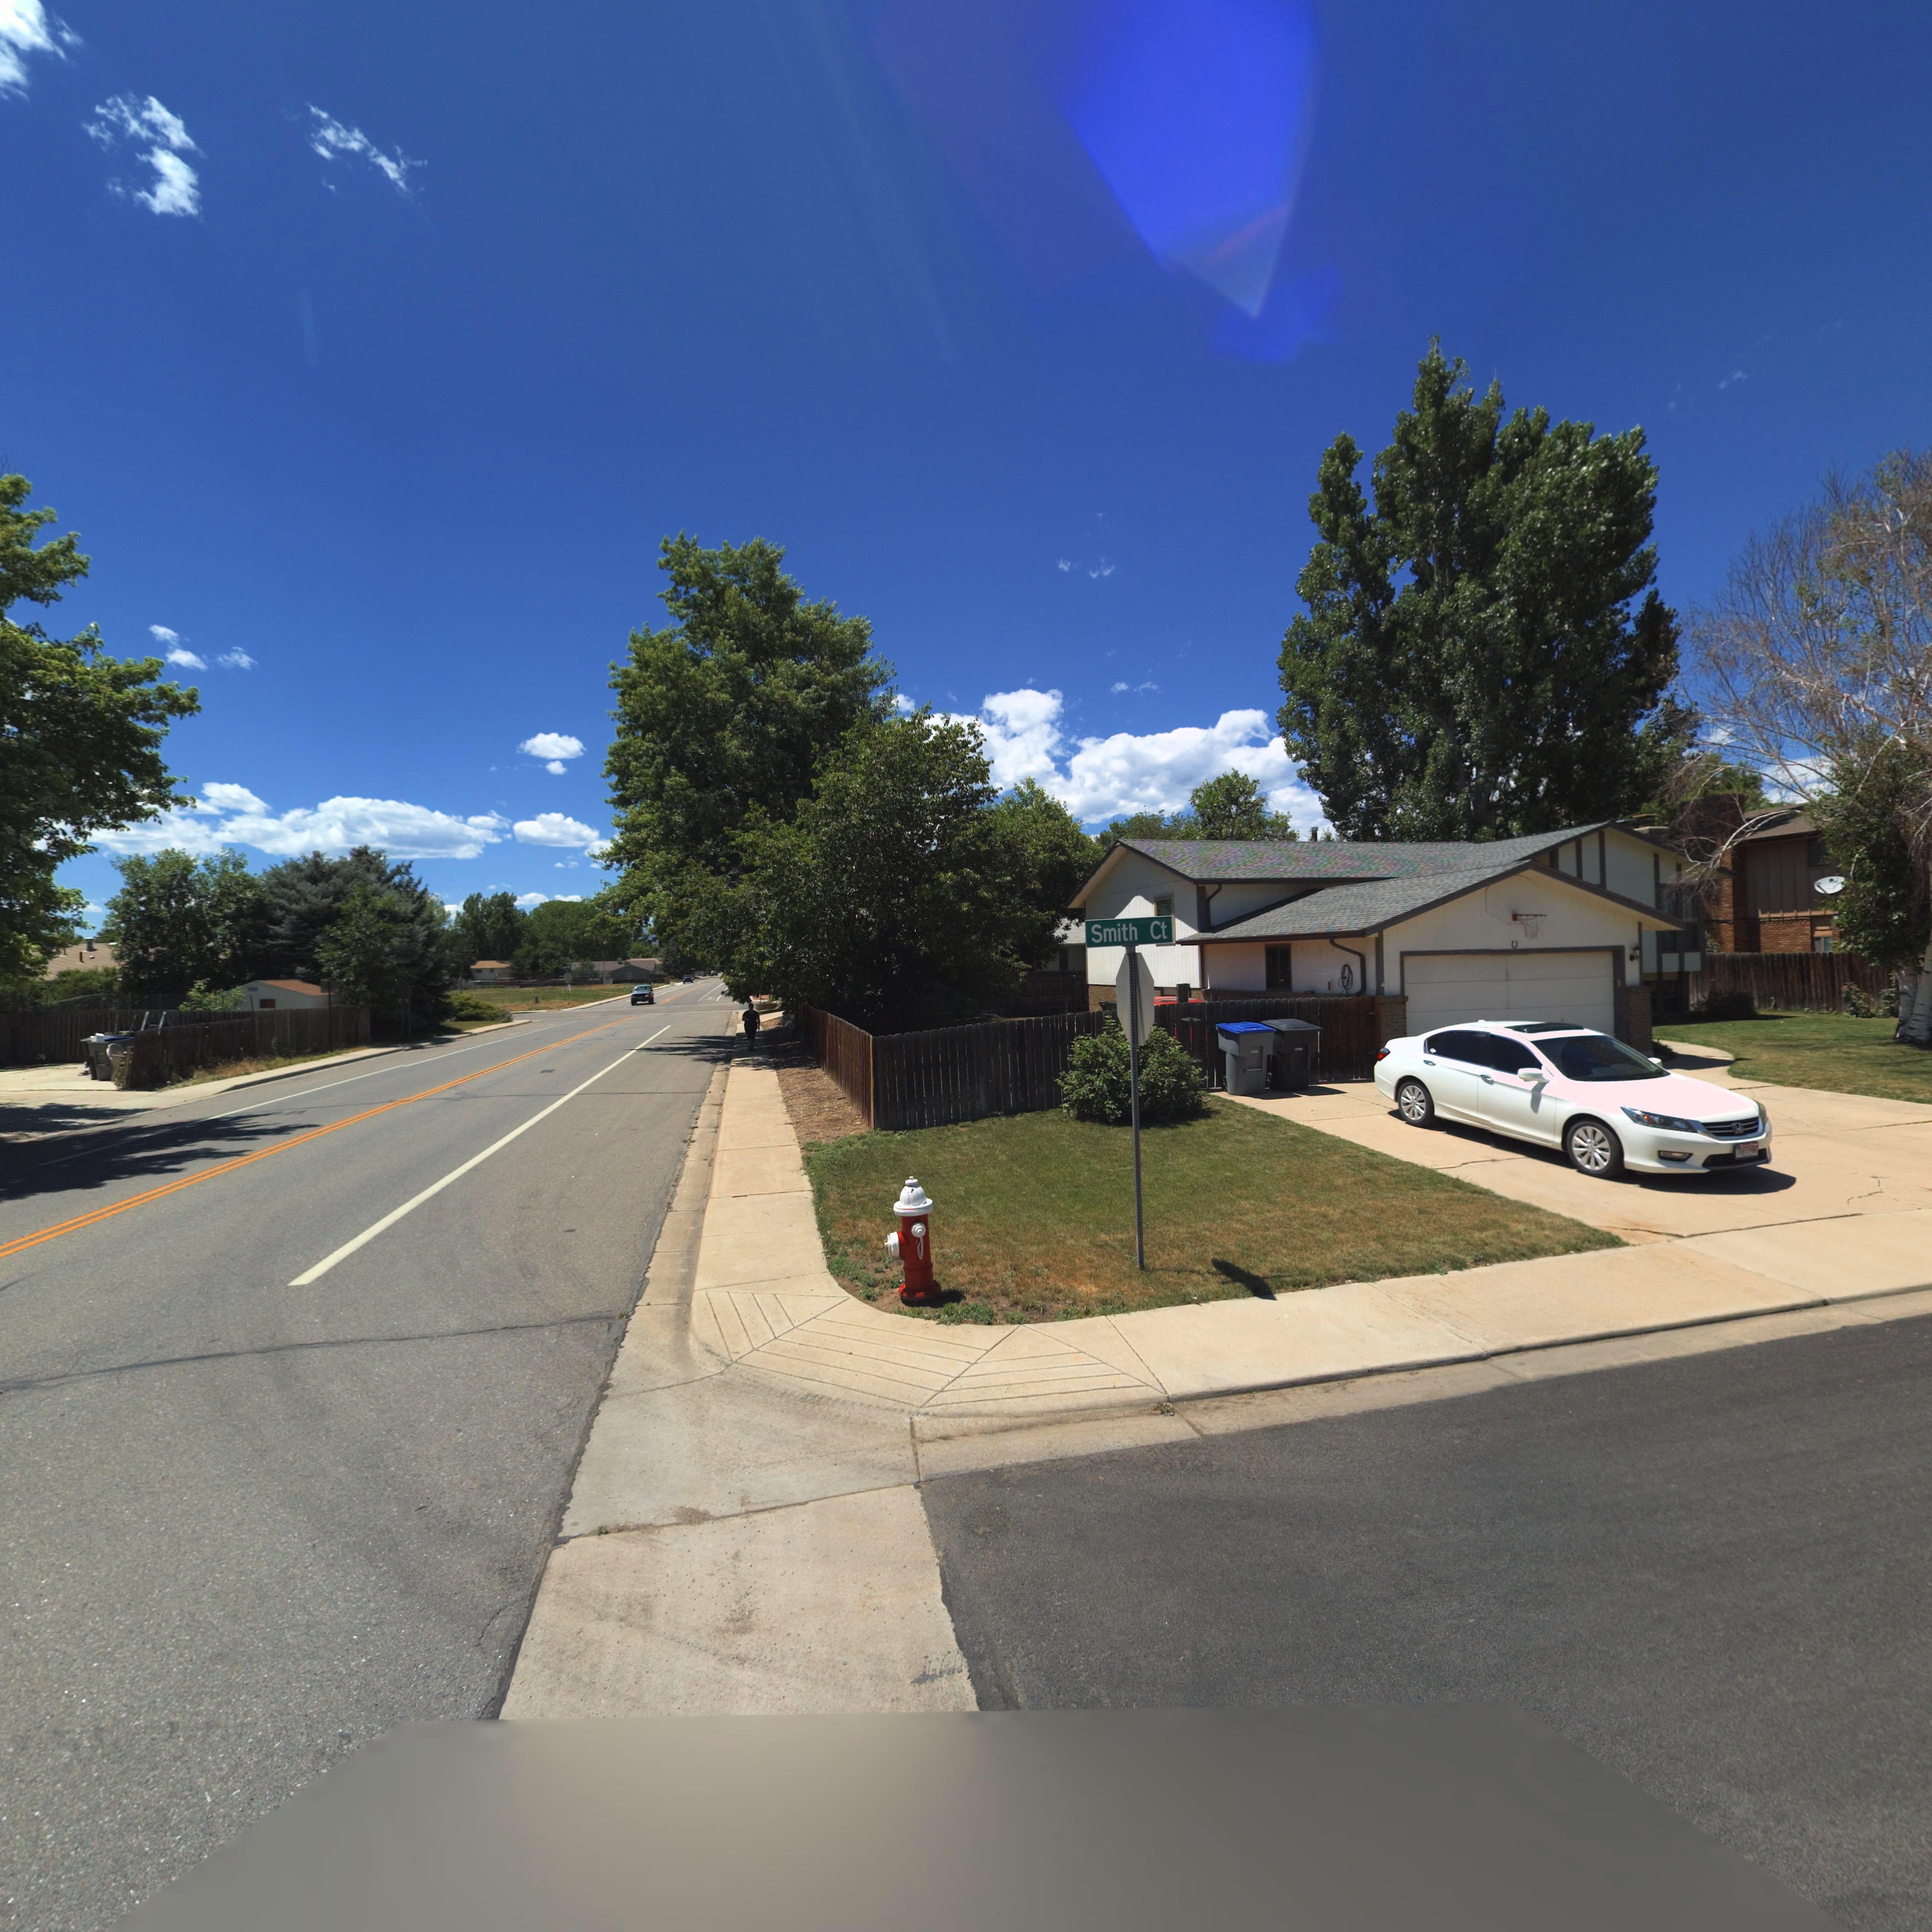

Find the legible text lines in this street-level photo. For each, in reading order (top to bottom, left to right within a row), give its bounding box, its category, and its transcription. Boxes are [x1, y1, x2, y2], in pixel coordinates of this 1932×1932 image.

[1091, 920, 1167, 943] StreetName: Smith Ct